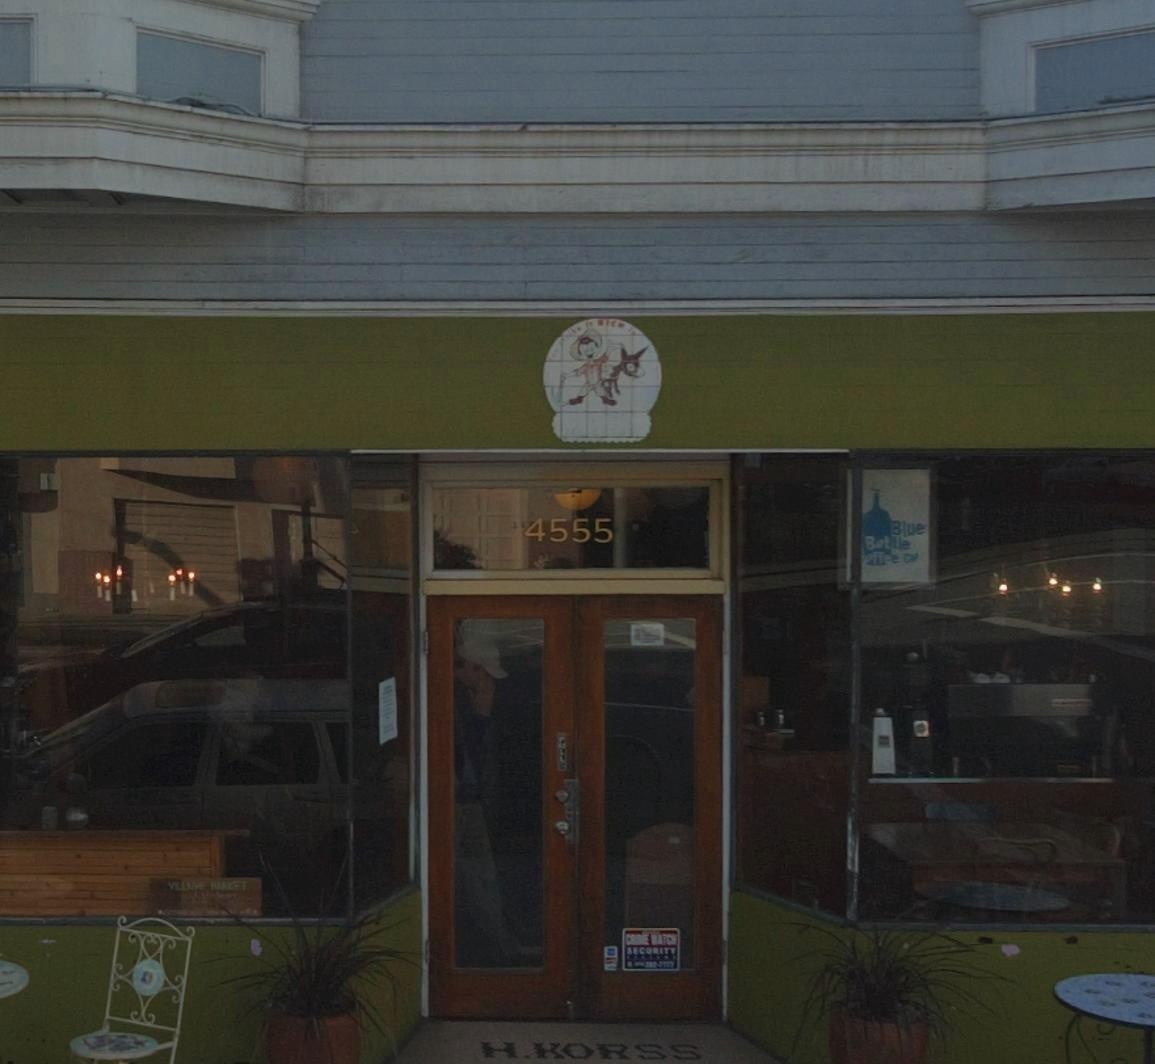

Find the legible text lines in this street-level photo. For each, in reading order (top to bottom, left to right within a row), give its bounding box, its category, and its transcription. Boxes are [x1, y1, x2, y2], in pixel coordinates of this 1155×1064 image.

[522, 516, 616, 546] StreetNumber: 4555
[888, 517, 927, 539] BusinessName: Blue
[863, 532, 915, 553] BusinessName: Bot*le
[862, 549, 903, 567] BusinessName: off*e
[623, 931, 678, 947] None: C****WATC*
[624, 945, 678, 957] None: SECURITY
[477, 1039, 704, 1062] None: H.KORSS